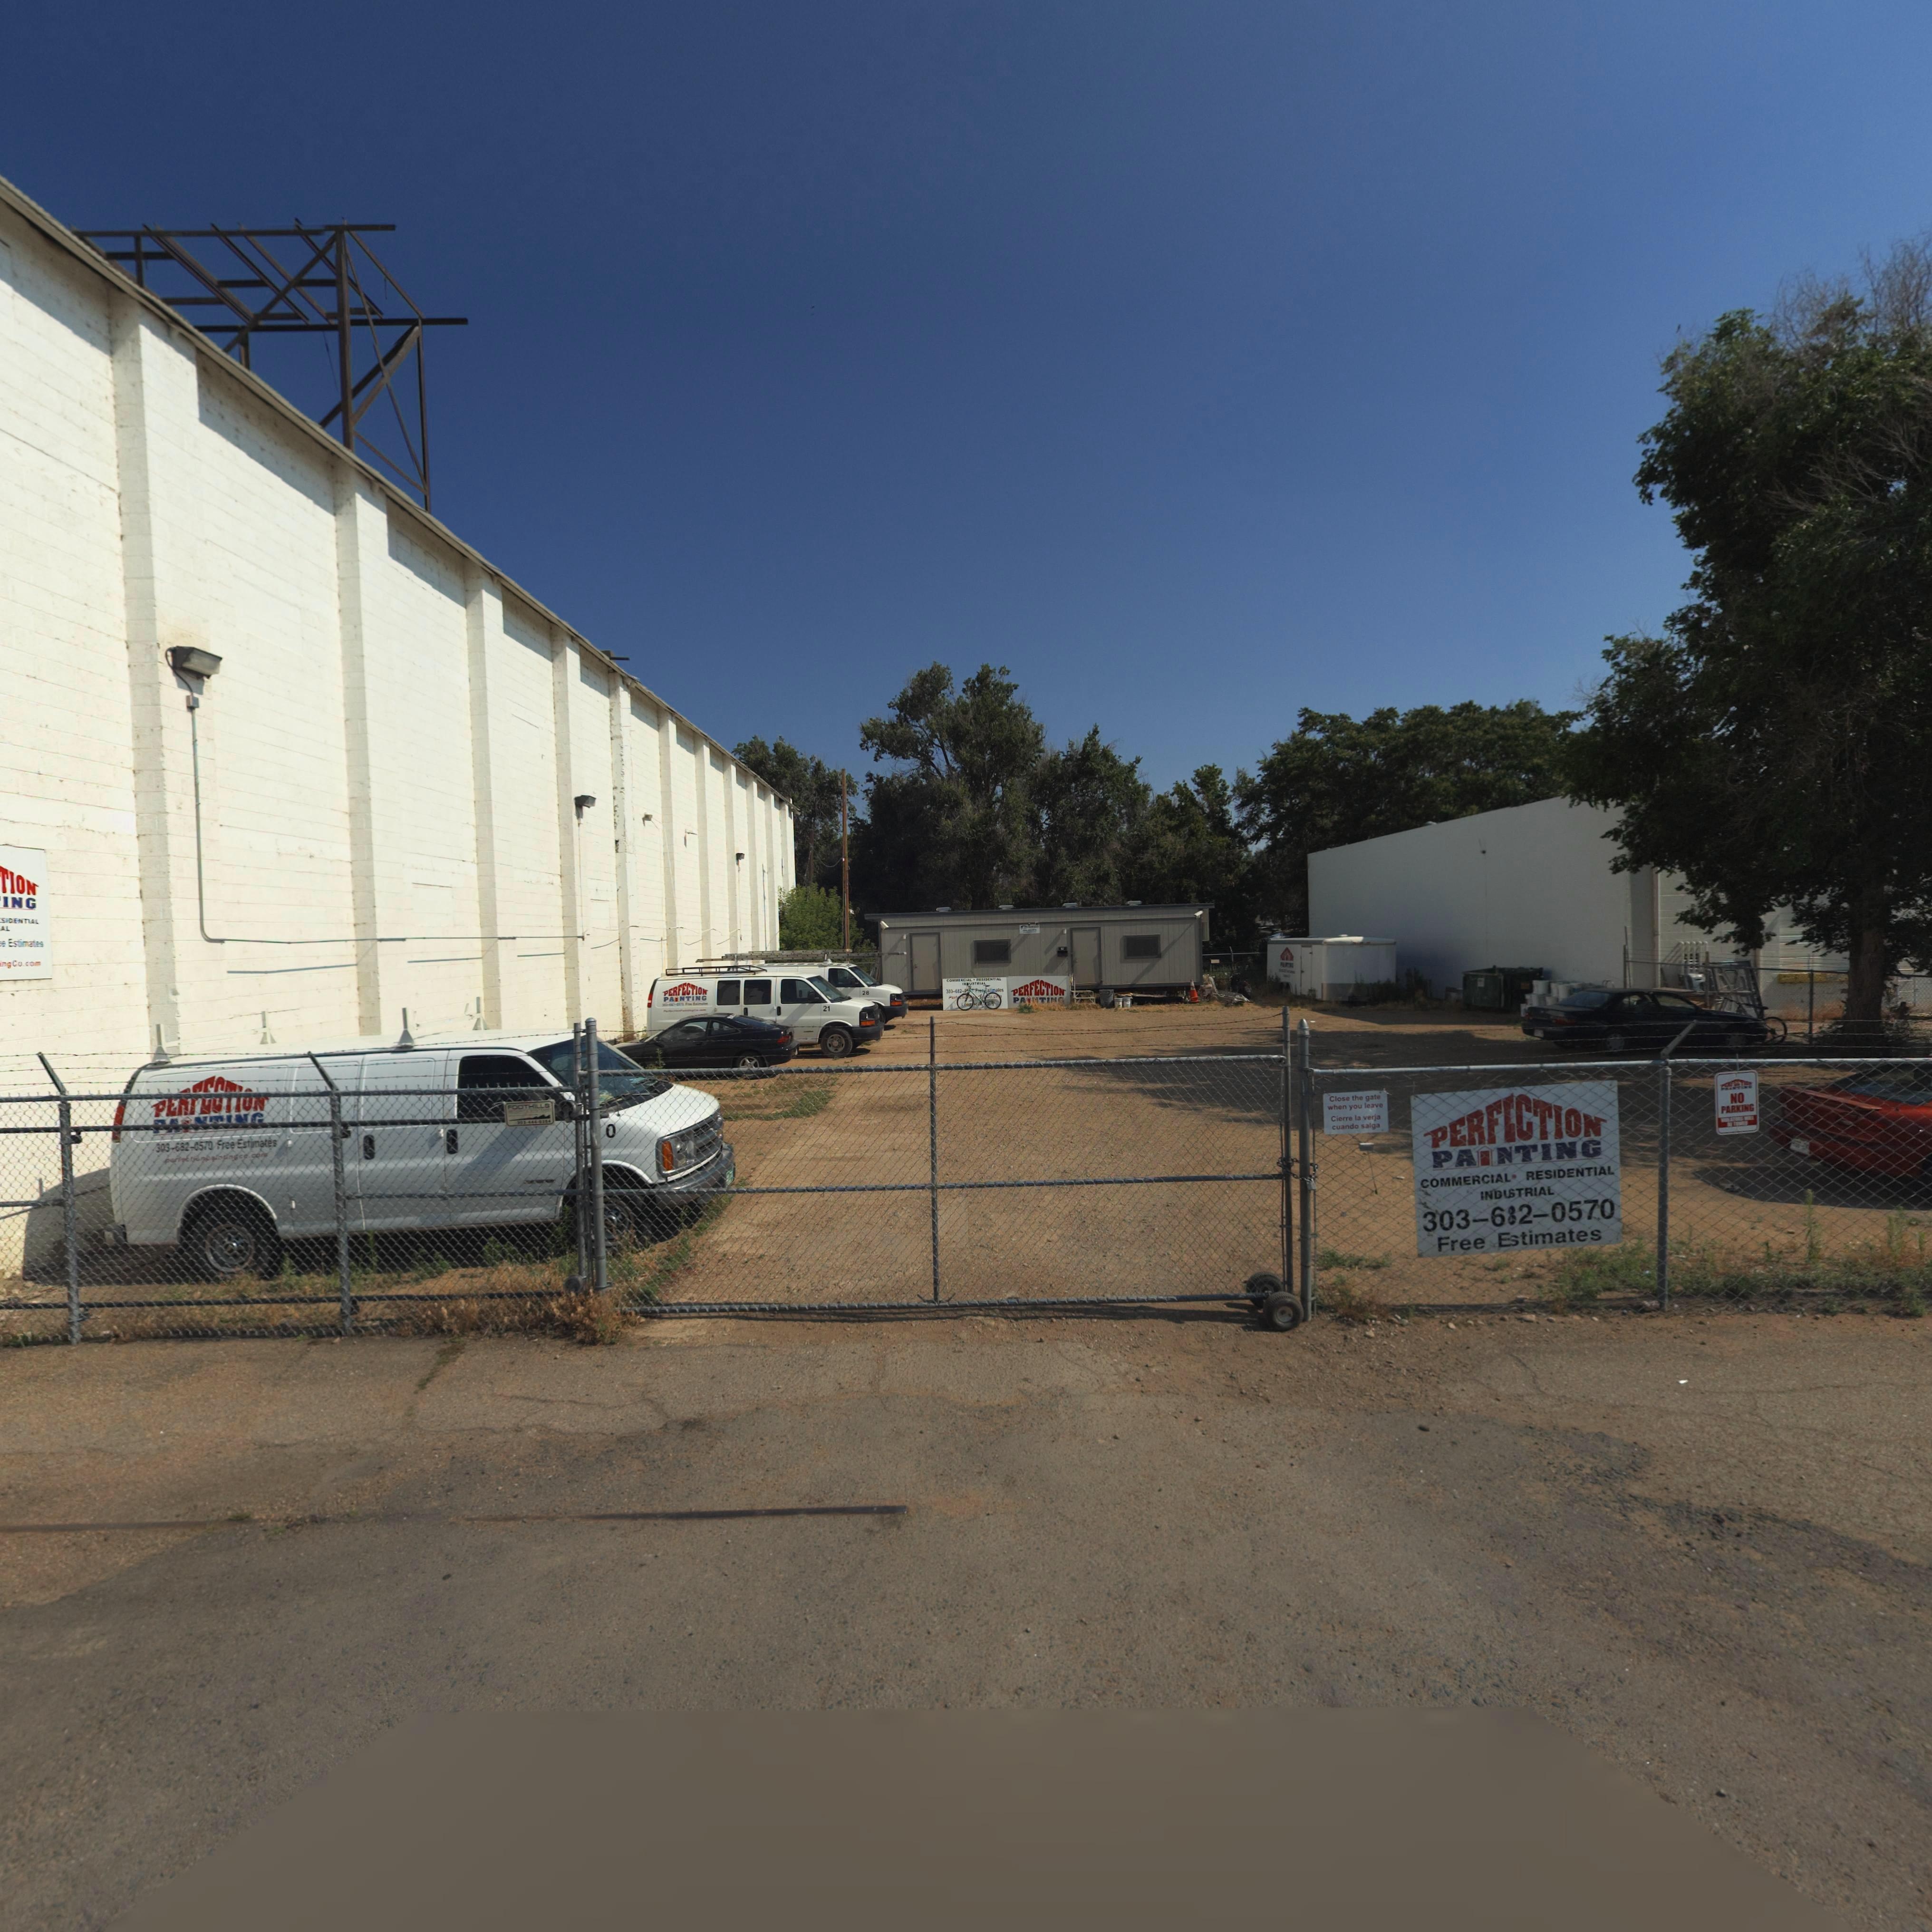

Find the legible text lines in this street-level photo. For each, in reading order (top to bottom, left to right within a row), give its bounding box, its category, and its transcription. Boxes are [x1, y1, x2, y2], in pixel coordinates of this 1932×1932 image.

[8, 869, 37, 897] BusinessName: ION
[2, 895, 36, 909] BusinessName: ING
[1012, 978, 1065, 996] BusinessName: PERFECTION
[1013, 996, 1064, 1004] BusinessName: P***TI**
[1430, 1091, 1602, 1149] BusinessName: PERFECTION
[1430, 1139, 1603, 1170] BusinessName: PAINTING